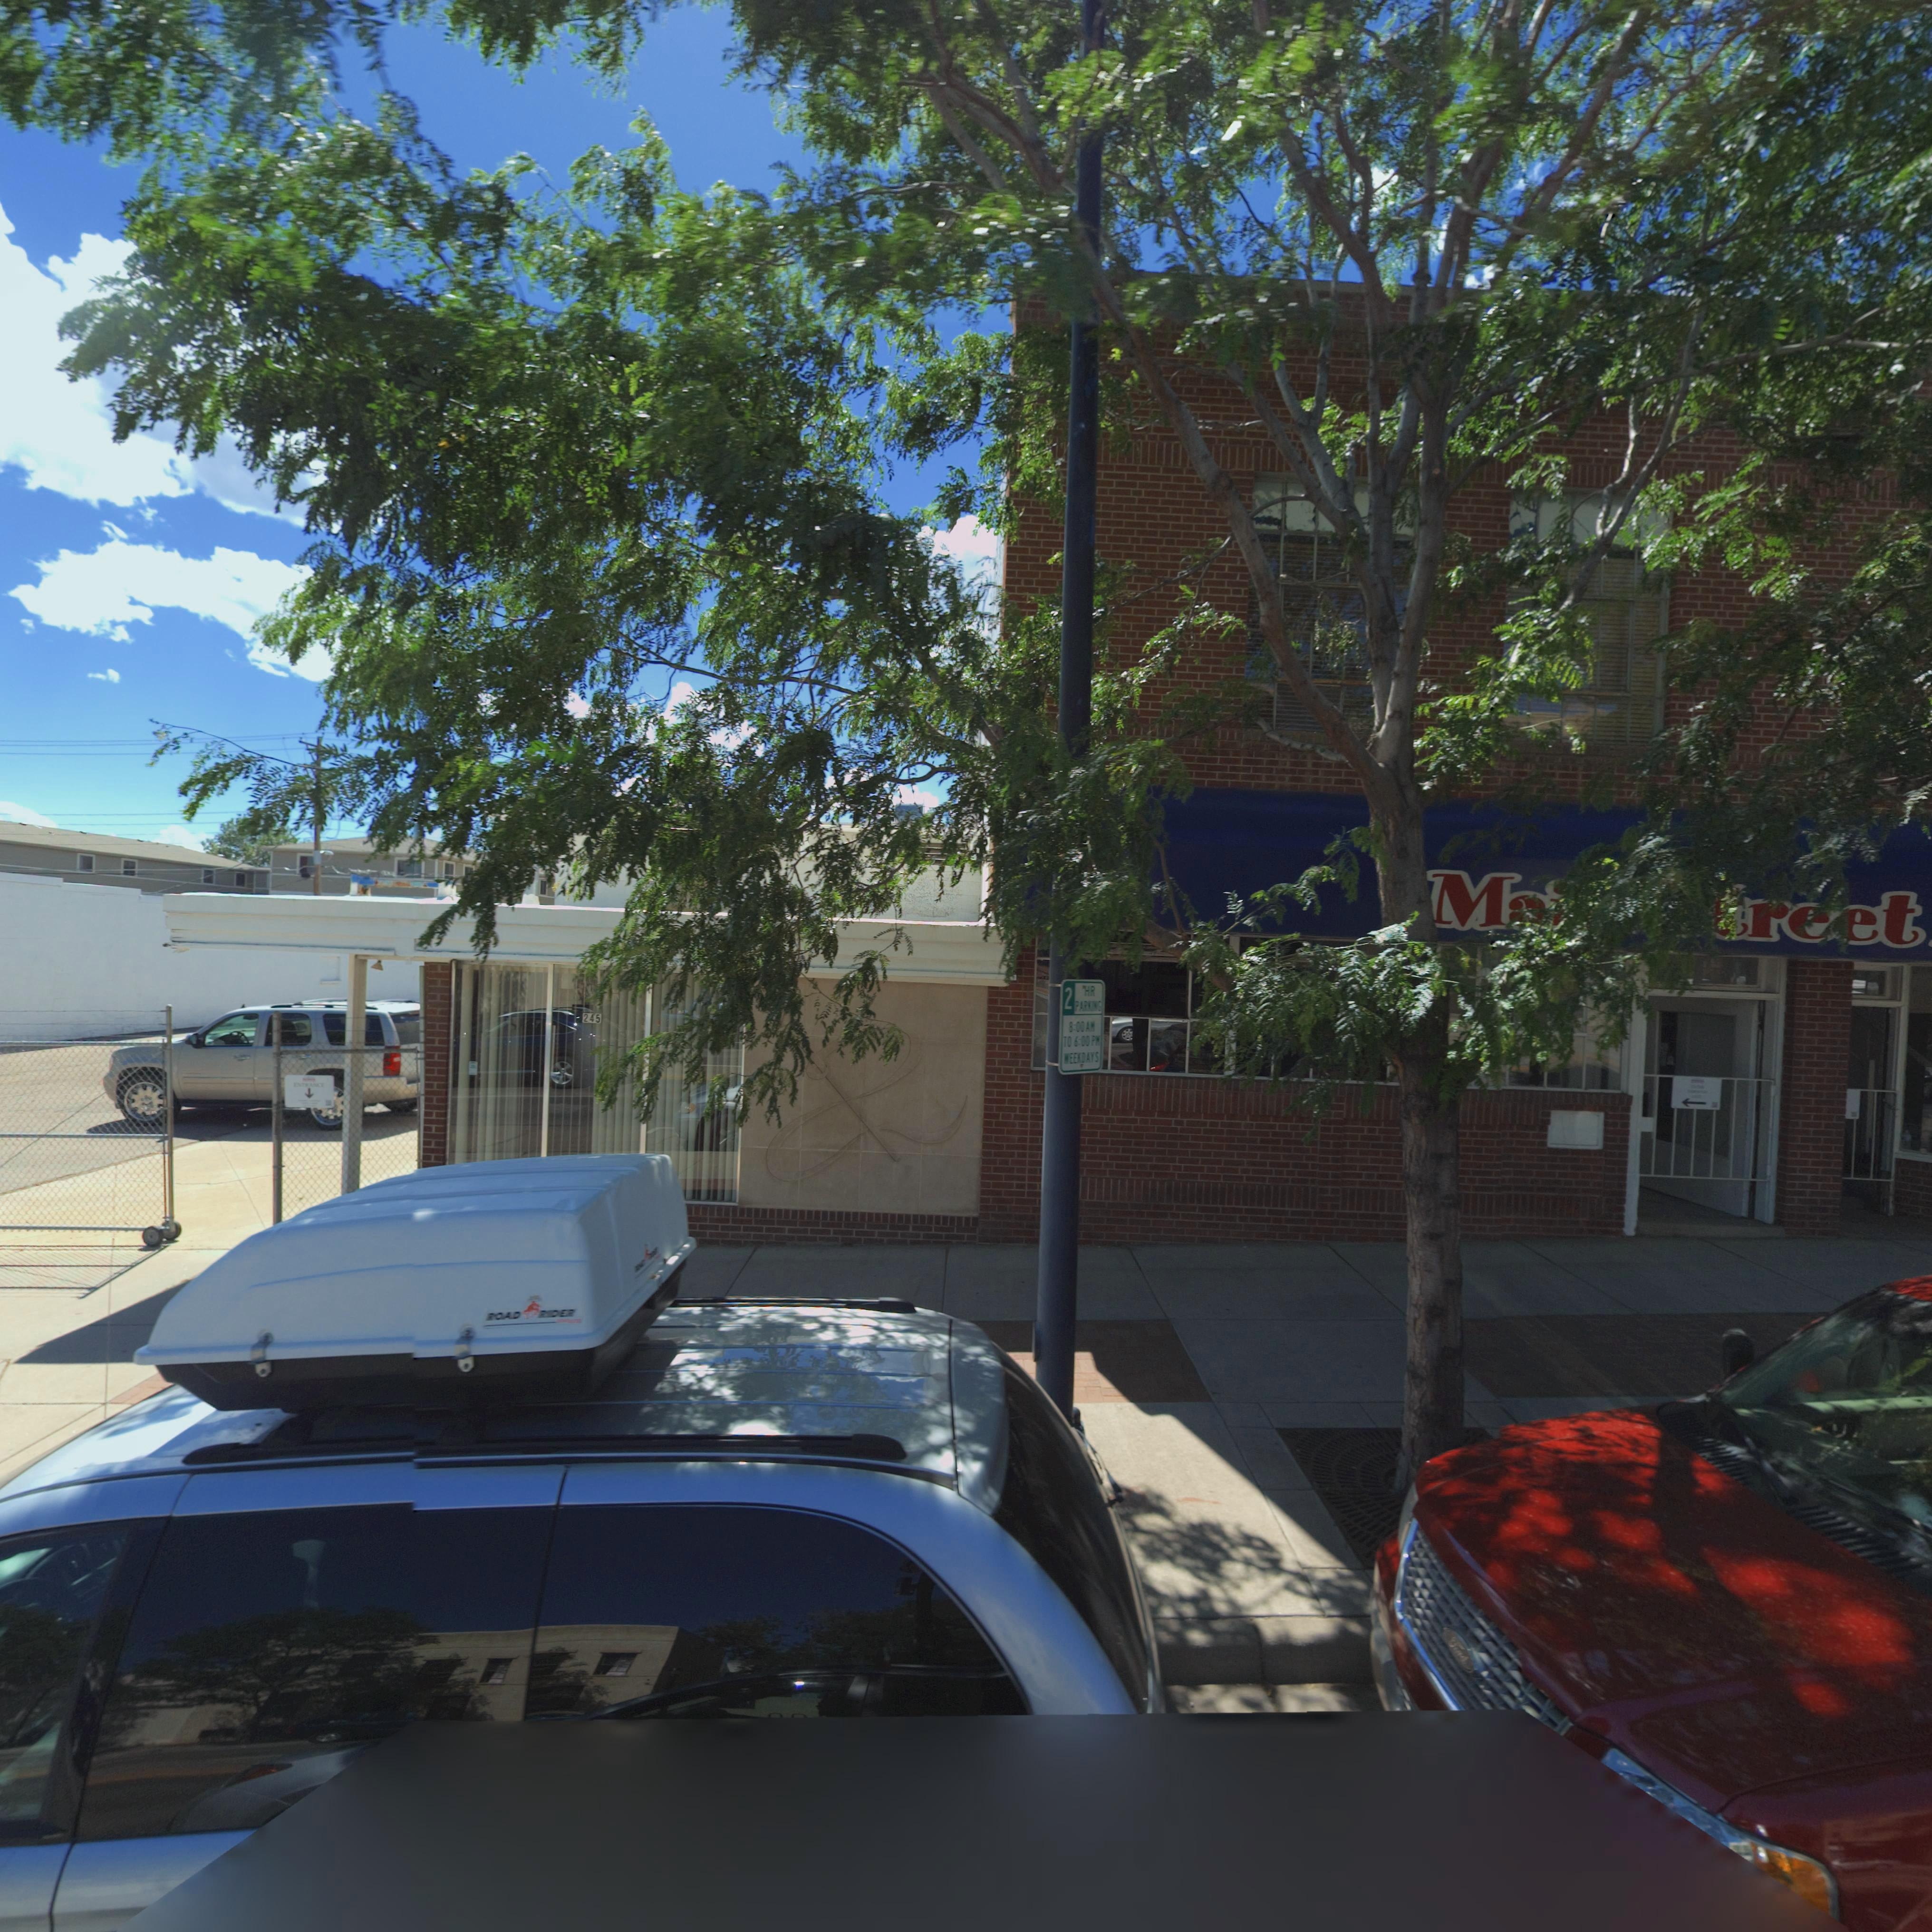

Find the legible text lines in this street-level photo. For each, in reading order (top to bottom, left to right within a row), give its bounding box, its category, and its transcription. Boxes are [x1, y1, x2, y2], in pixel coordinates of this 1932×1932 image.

[1424, 867, 1925, 950] BusinessName: M*** **reet
[583, 1013, 600, 1023] StreetNumber: 245